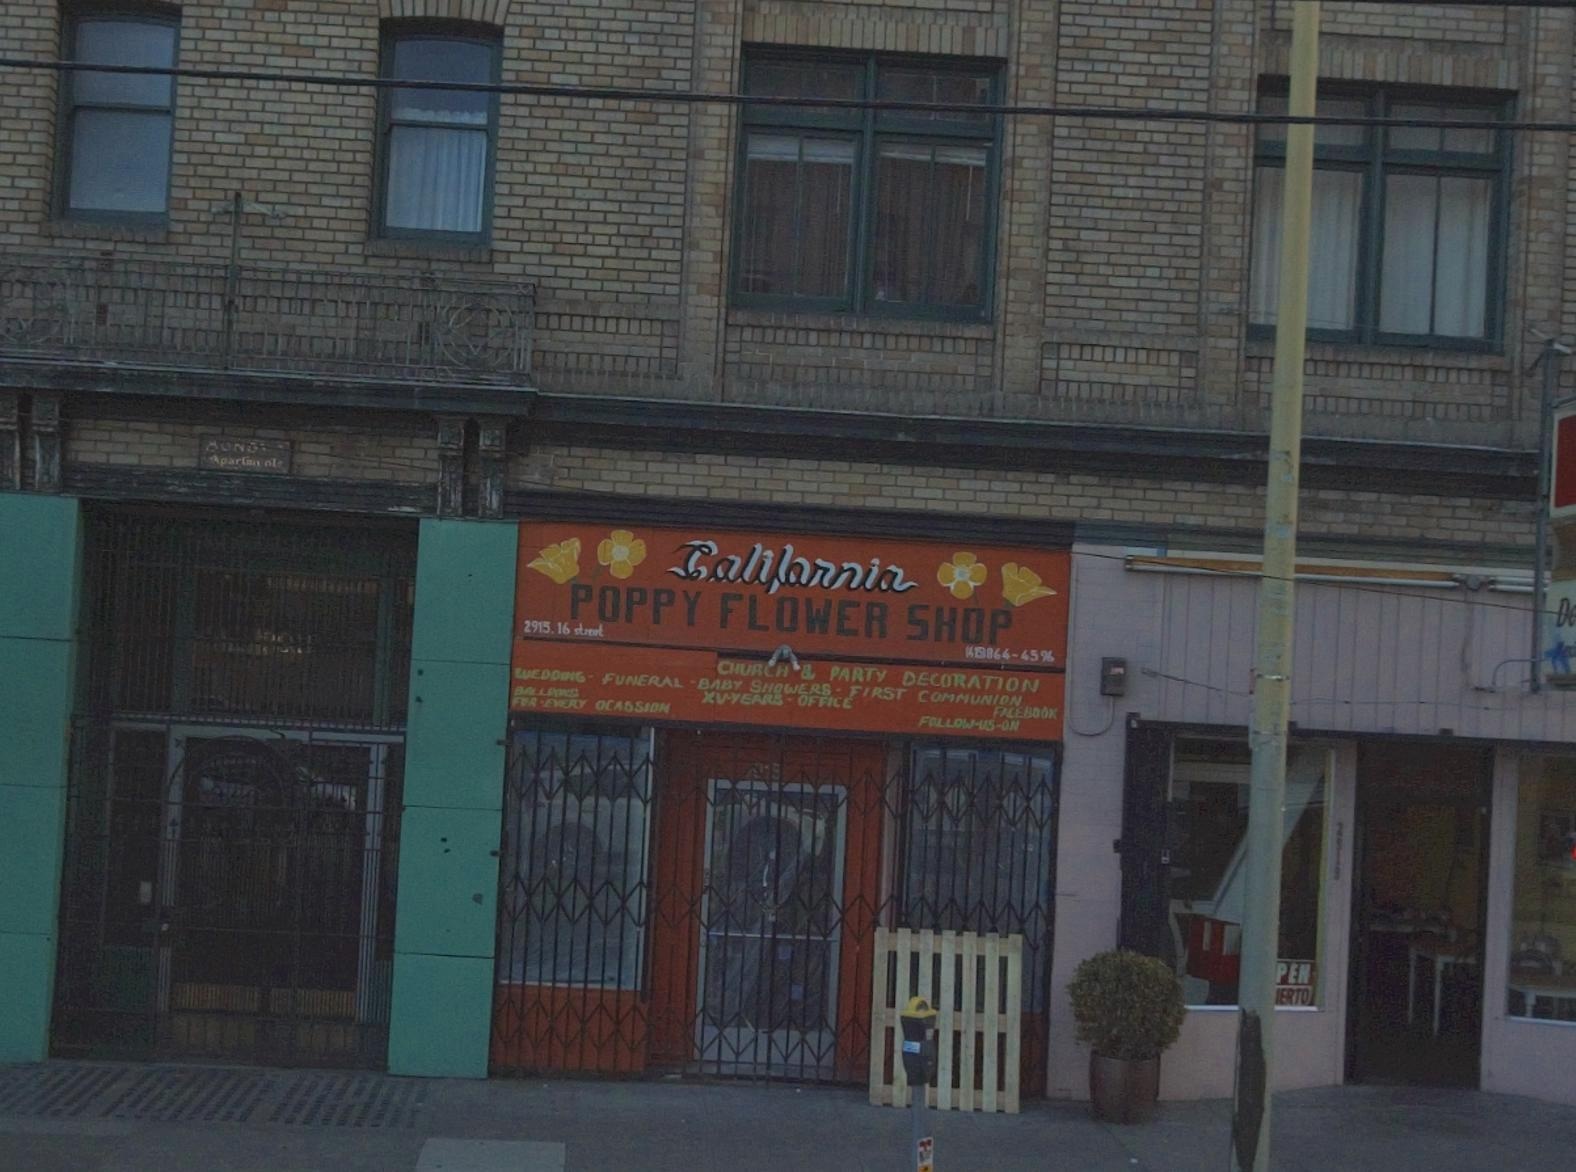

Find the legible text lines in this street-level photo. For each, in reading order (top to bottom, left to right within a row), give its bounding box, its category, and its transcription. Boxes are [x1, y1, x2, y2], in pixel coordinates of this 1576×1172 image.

[660, 535, 922, 598] BusinessName: California
[566, 577, 1015, 649] BusinessName: POPPY FLOWER SHOP
[1551, 595, 1575, 630] None: D
[521, 616, 554, 637] StreetNumber: 2915
[555, 618, 608, 640] StreetName: 16 street
[984, 642, 1058, 666] None: 864-45%
[509, 682, 584, 699] None: BALLOONS
[507, 694, 676, 717] None: FOR-EVERY OCASSION
[696, 687, 788, 710] None: XV-YEARS
[510, 663, 1032, 710] None: WEDDING - FUNERAL - BABY SHOWERS - FIRST COMMUNION
[794, 692, 857, 712] None: OF FILE
[711, 655, 1047, 696] None: CHURCH & PARTY DECORATION
[912, 711, 1024, 736] None: FOLLOW-US-ON
[989, 703, 1061, 722] None: FACEBOOK
[1330, 818, 1347, 884] StreetNumber: 2919
[1271, 959, 1316, 987] None: PEN
[1275, 985, 1315, 1008] None: ERTO